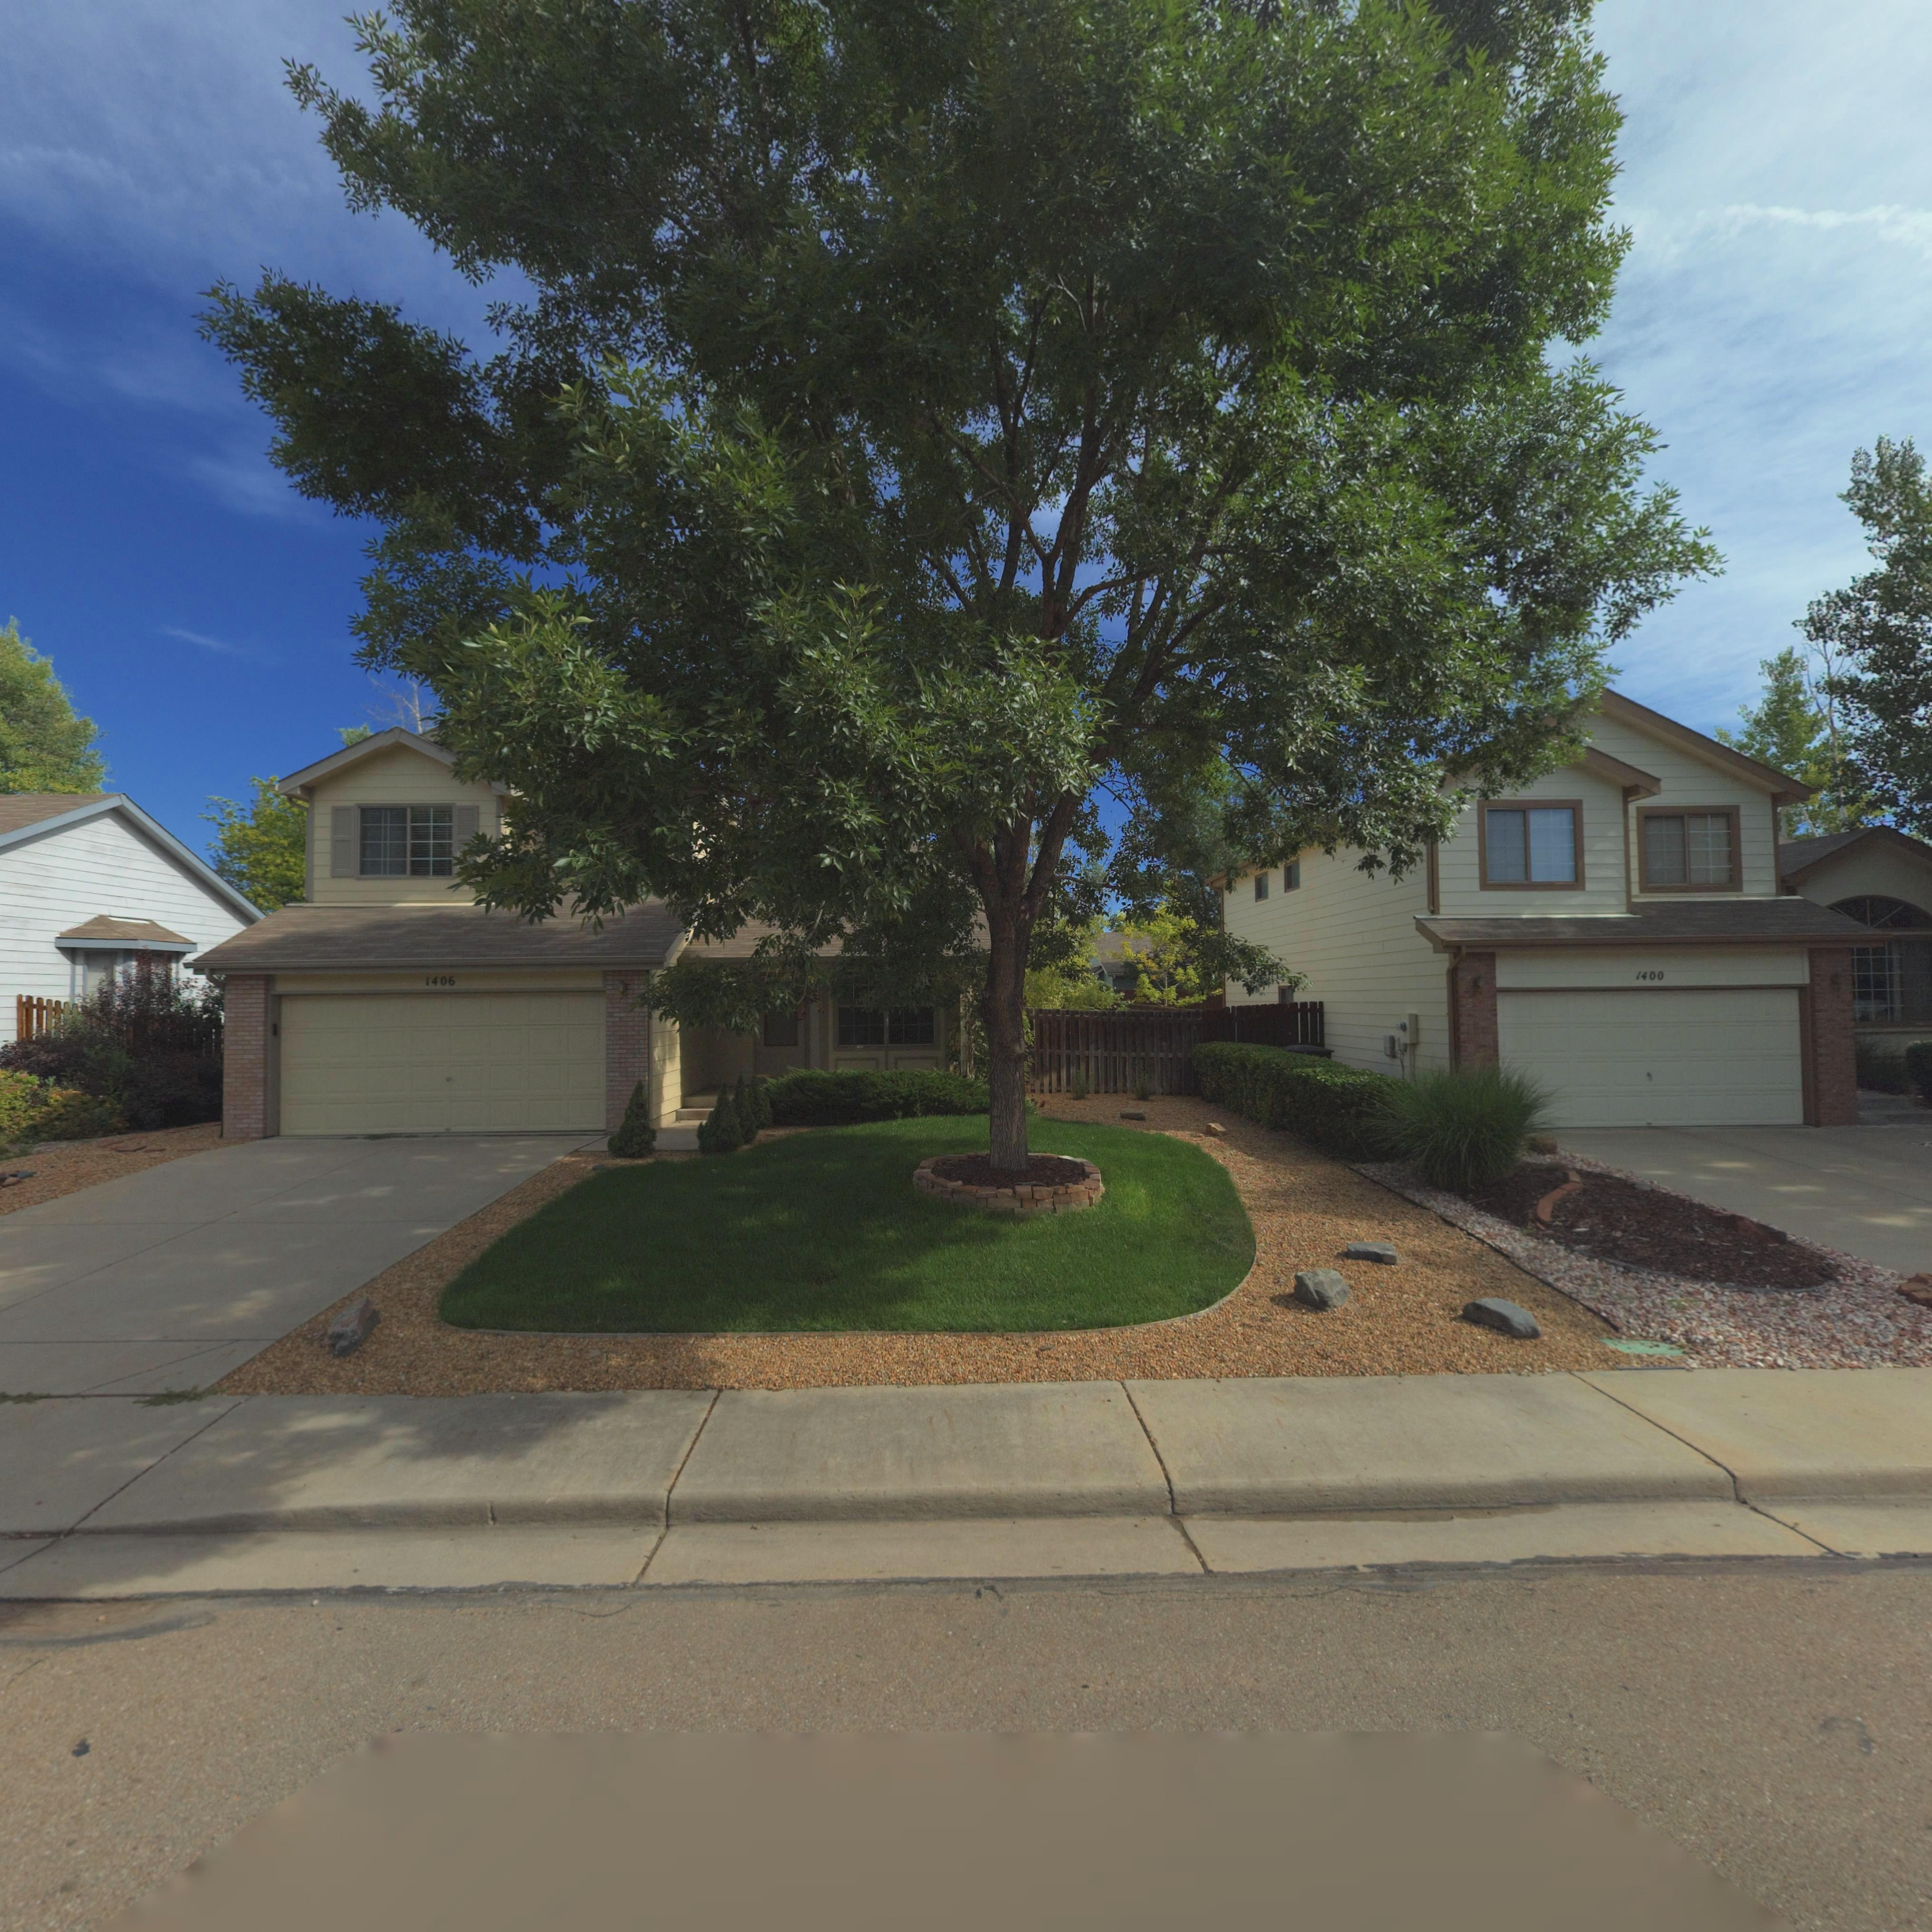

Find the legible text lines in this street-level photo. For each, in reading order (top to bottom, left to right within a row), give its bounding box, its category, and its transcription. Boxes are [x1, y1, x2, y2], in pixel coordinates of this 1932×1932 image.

[425, 975, 455, 986] StreetNumber: 1406
[1635, 970, 1664, 981] StreetNumber: 1400